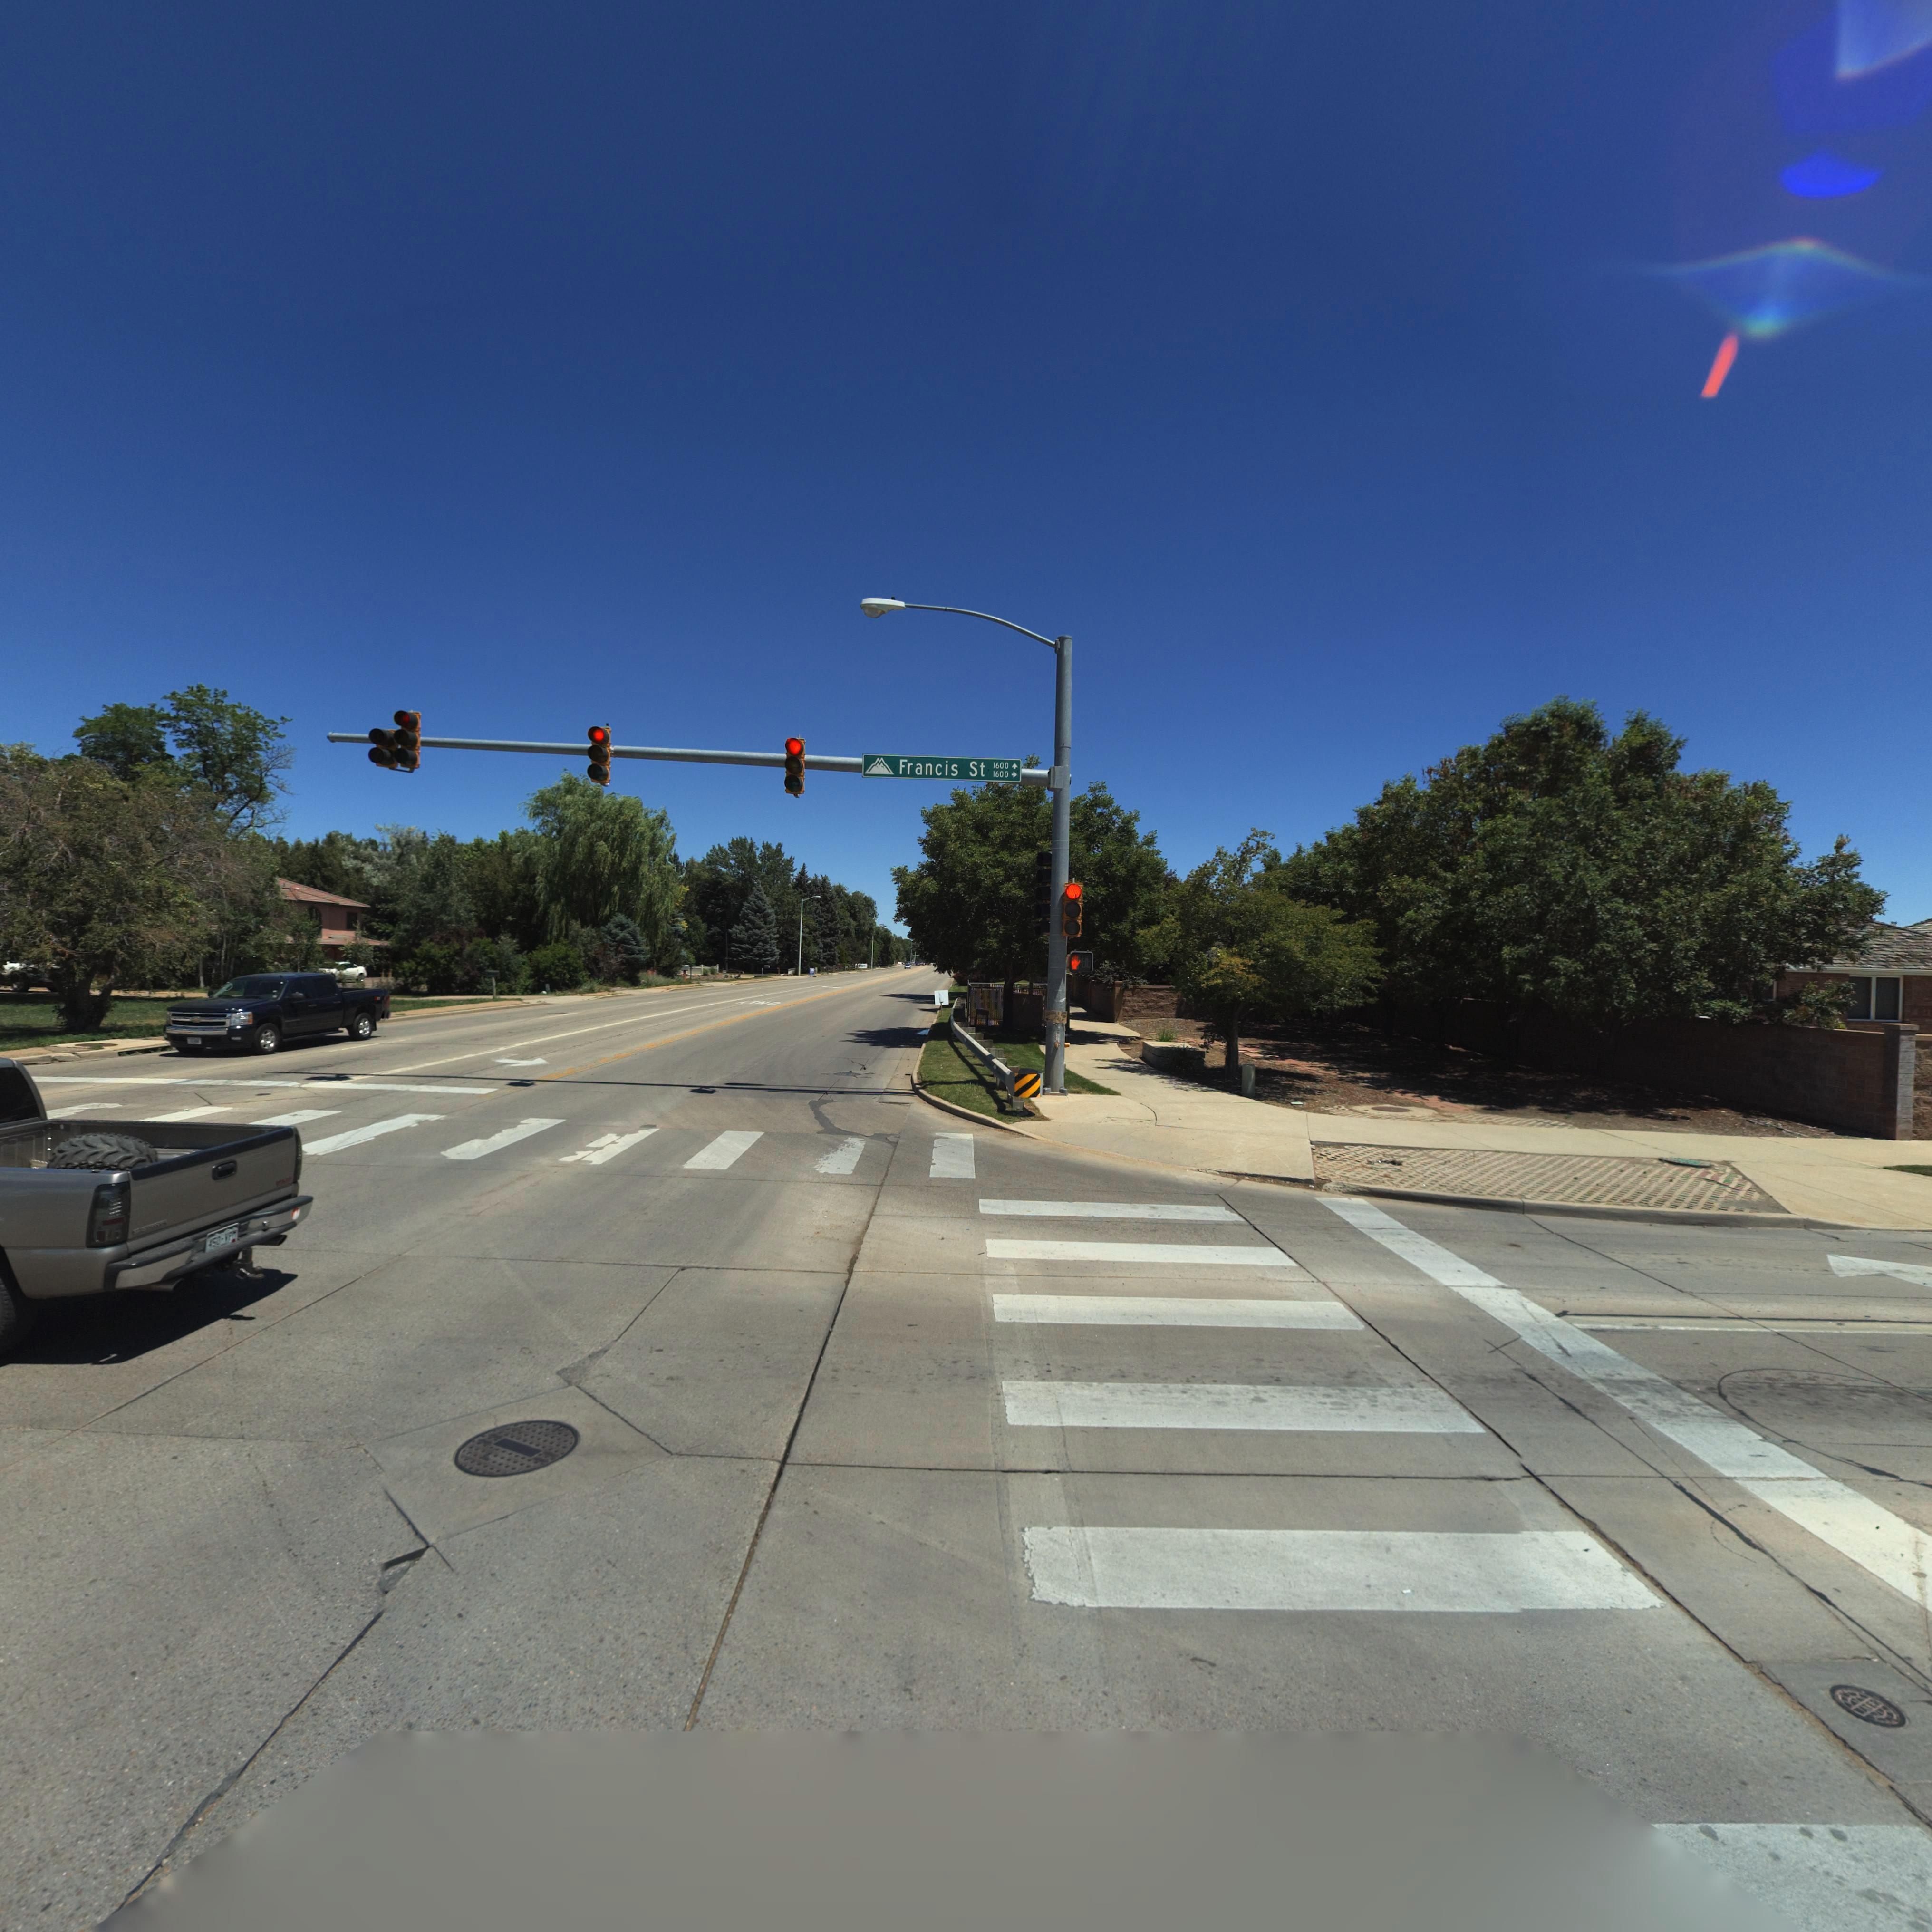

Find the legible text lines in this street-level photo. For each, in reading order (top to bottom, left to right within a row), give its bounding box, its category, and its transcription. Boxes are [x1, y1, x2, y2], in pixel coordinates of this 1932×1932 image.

[898, 758, 985, 777] StreetName: Francis St
[993, 762, 1009, 769] StreetNumberRange: 1600
[992, 770, 1018, 778] StreetNumberRange: 1600 ->